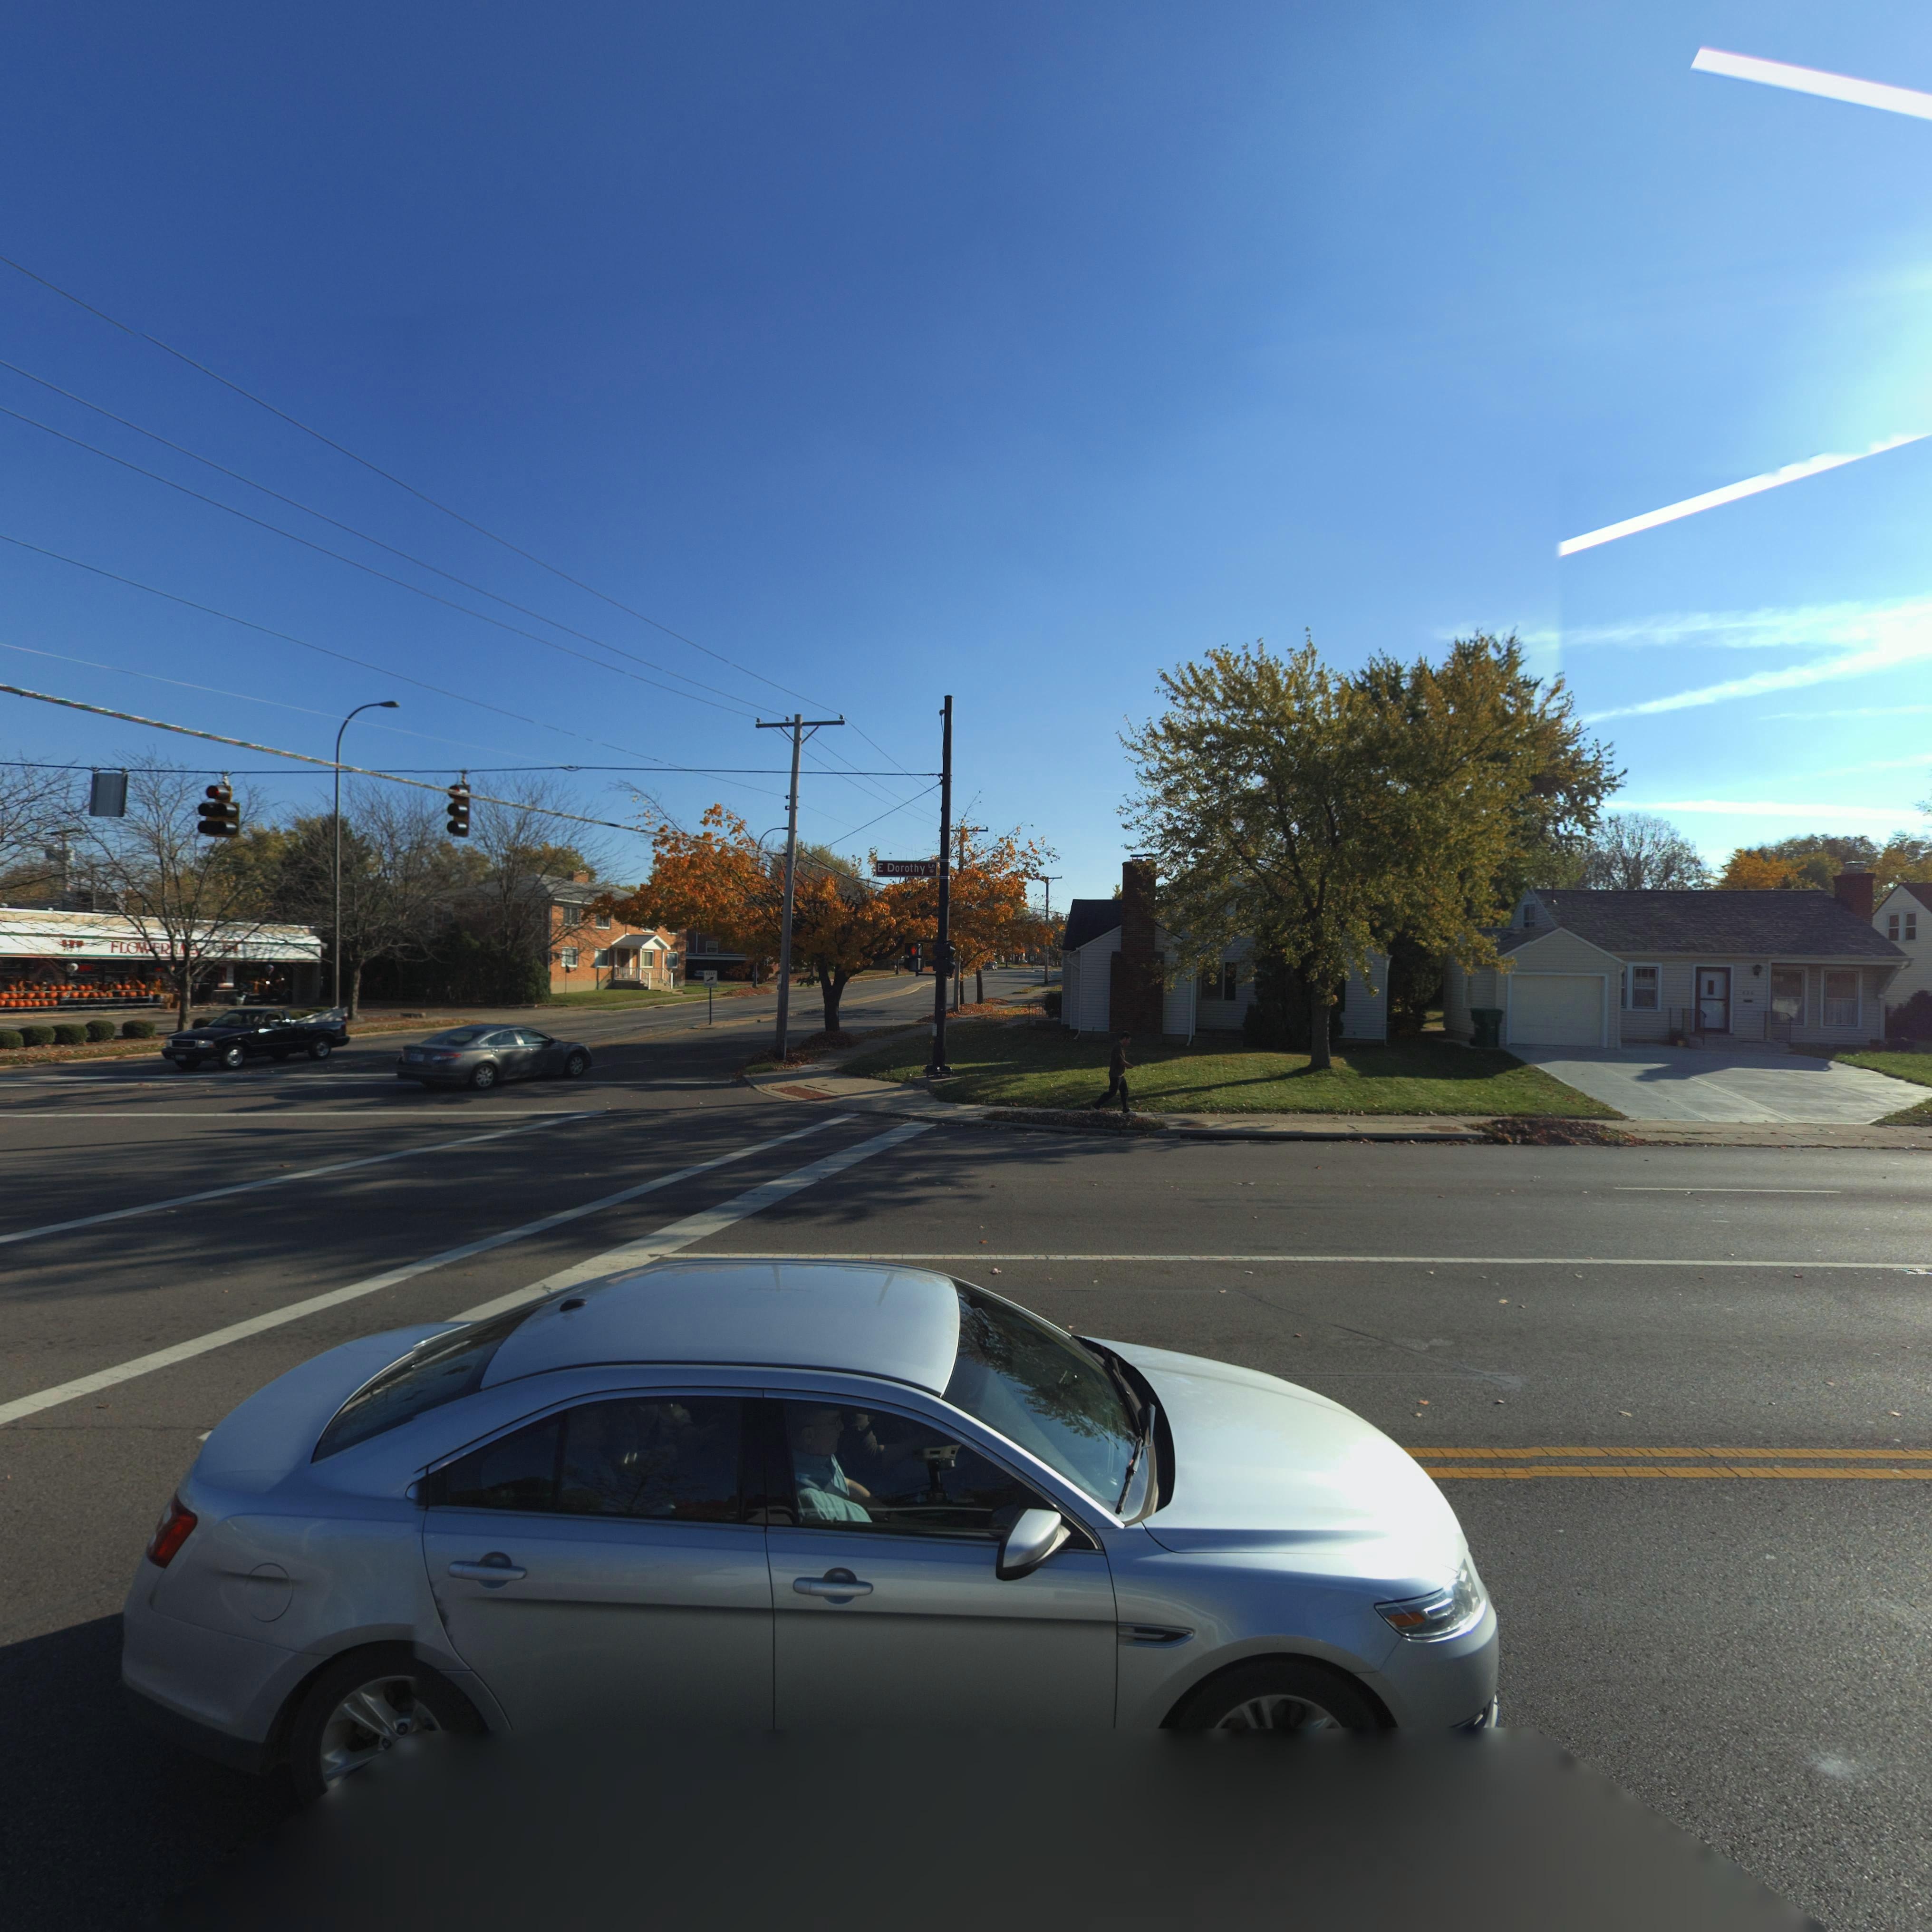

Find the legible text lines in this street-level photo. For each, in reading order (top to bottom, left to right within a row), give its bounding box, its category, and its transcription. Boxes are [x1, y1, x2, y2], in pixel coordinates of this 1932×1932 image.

[877, 862, 935, 876] StreetName: E Dorothy Ln
[109, 940, 171, 956] BusinessName: FLO**R
[1741, 990, 1754, 995] StreetNumber: 636